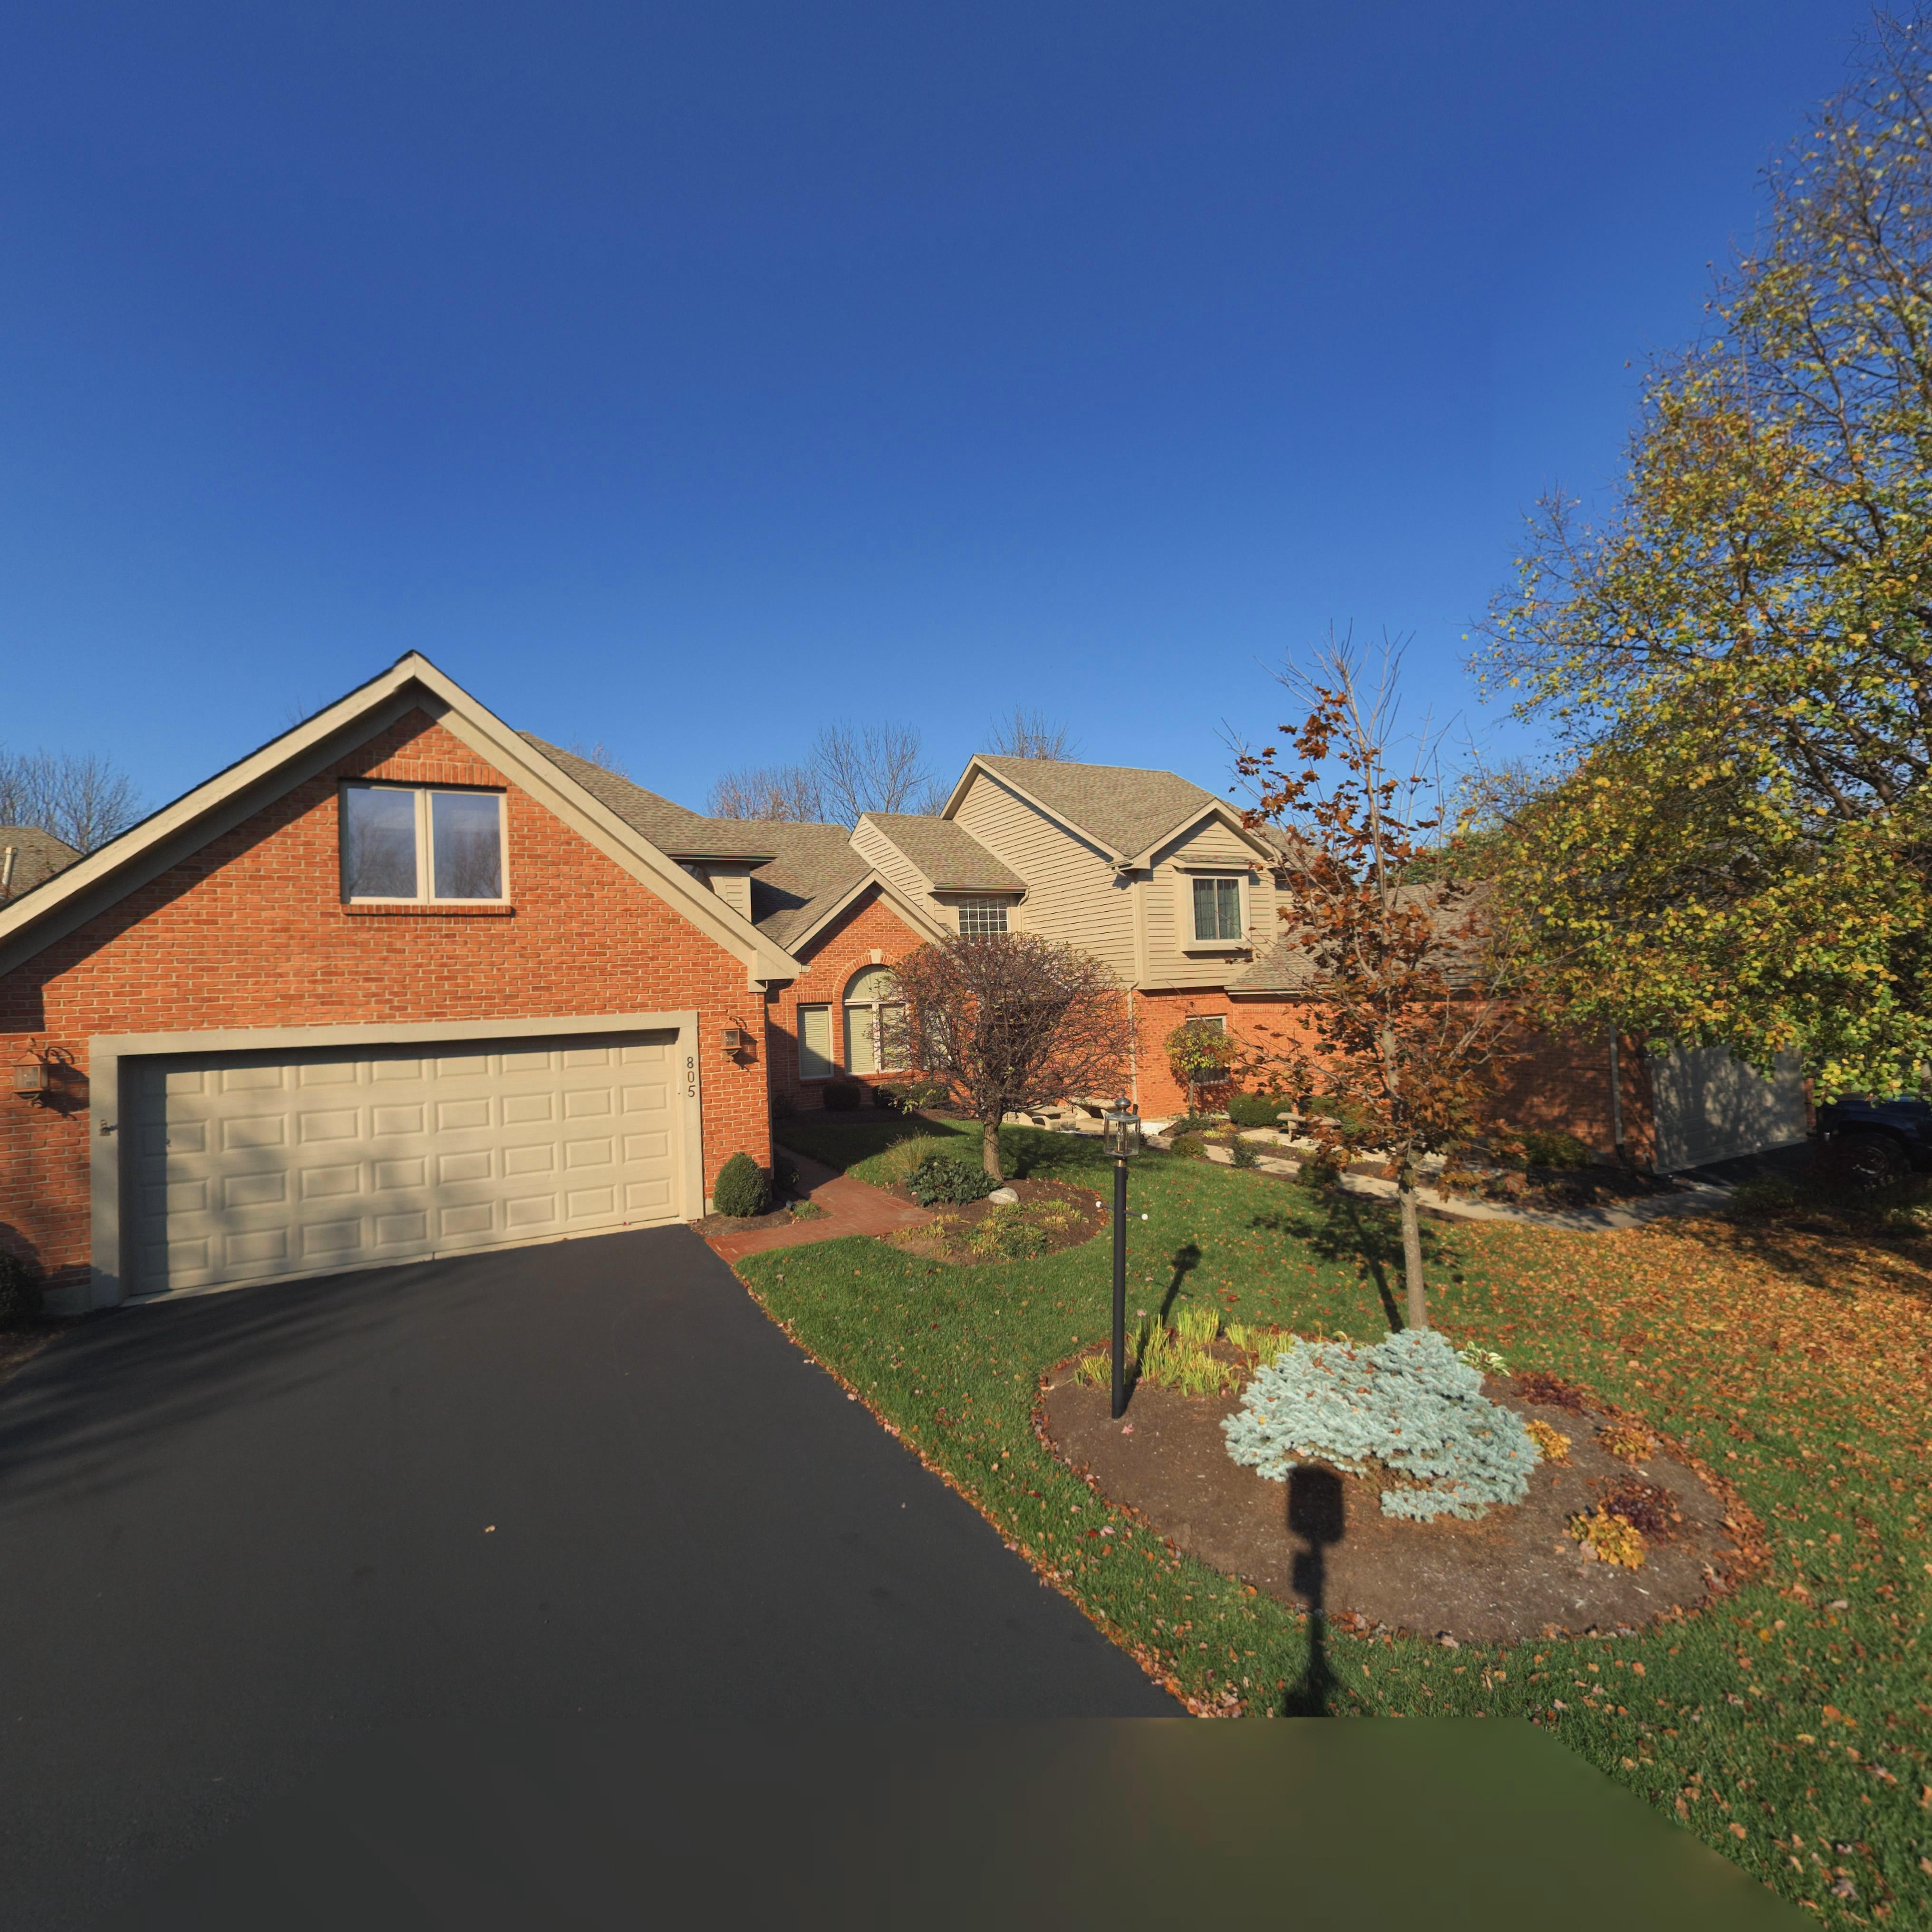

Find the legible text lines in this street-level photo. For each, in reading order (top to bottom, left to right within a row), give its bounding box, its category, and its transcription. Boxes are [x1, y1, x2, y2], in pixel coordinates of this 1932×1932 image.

[685, 1054, 697, 1099] StreetNumber: 805